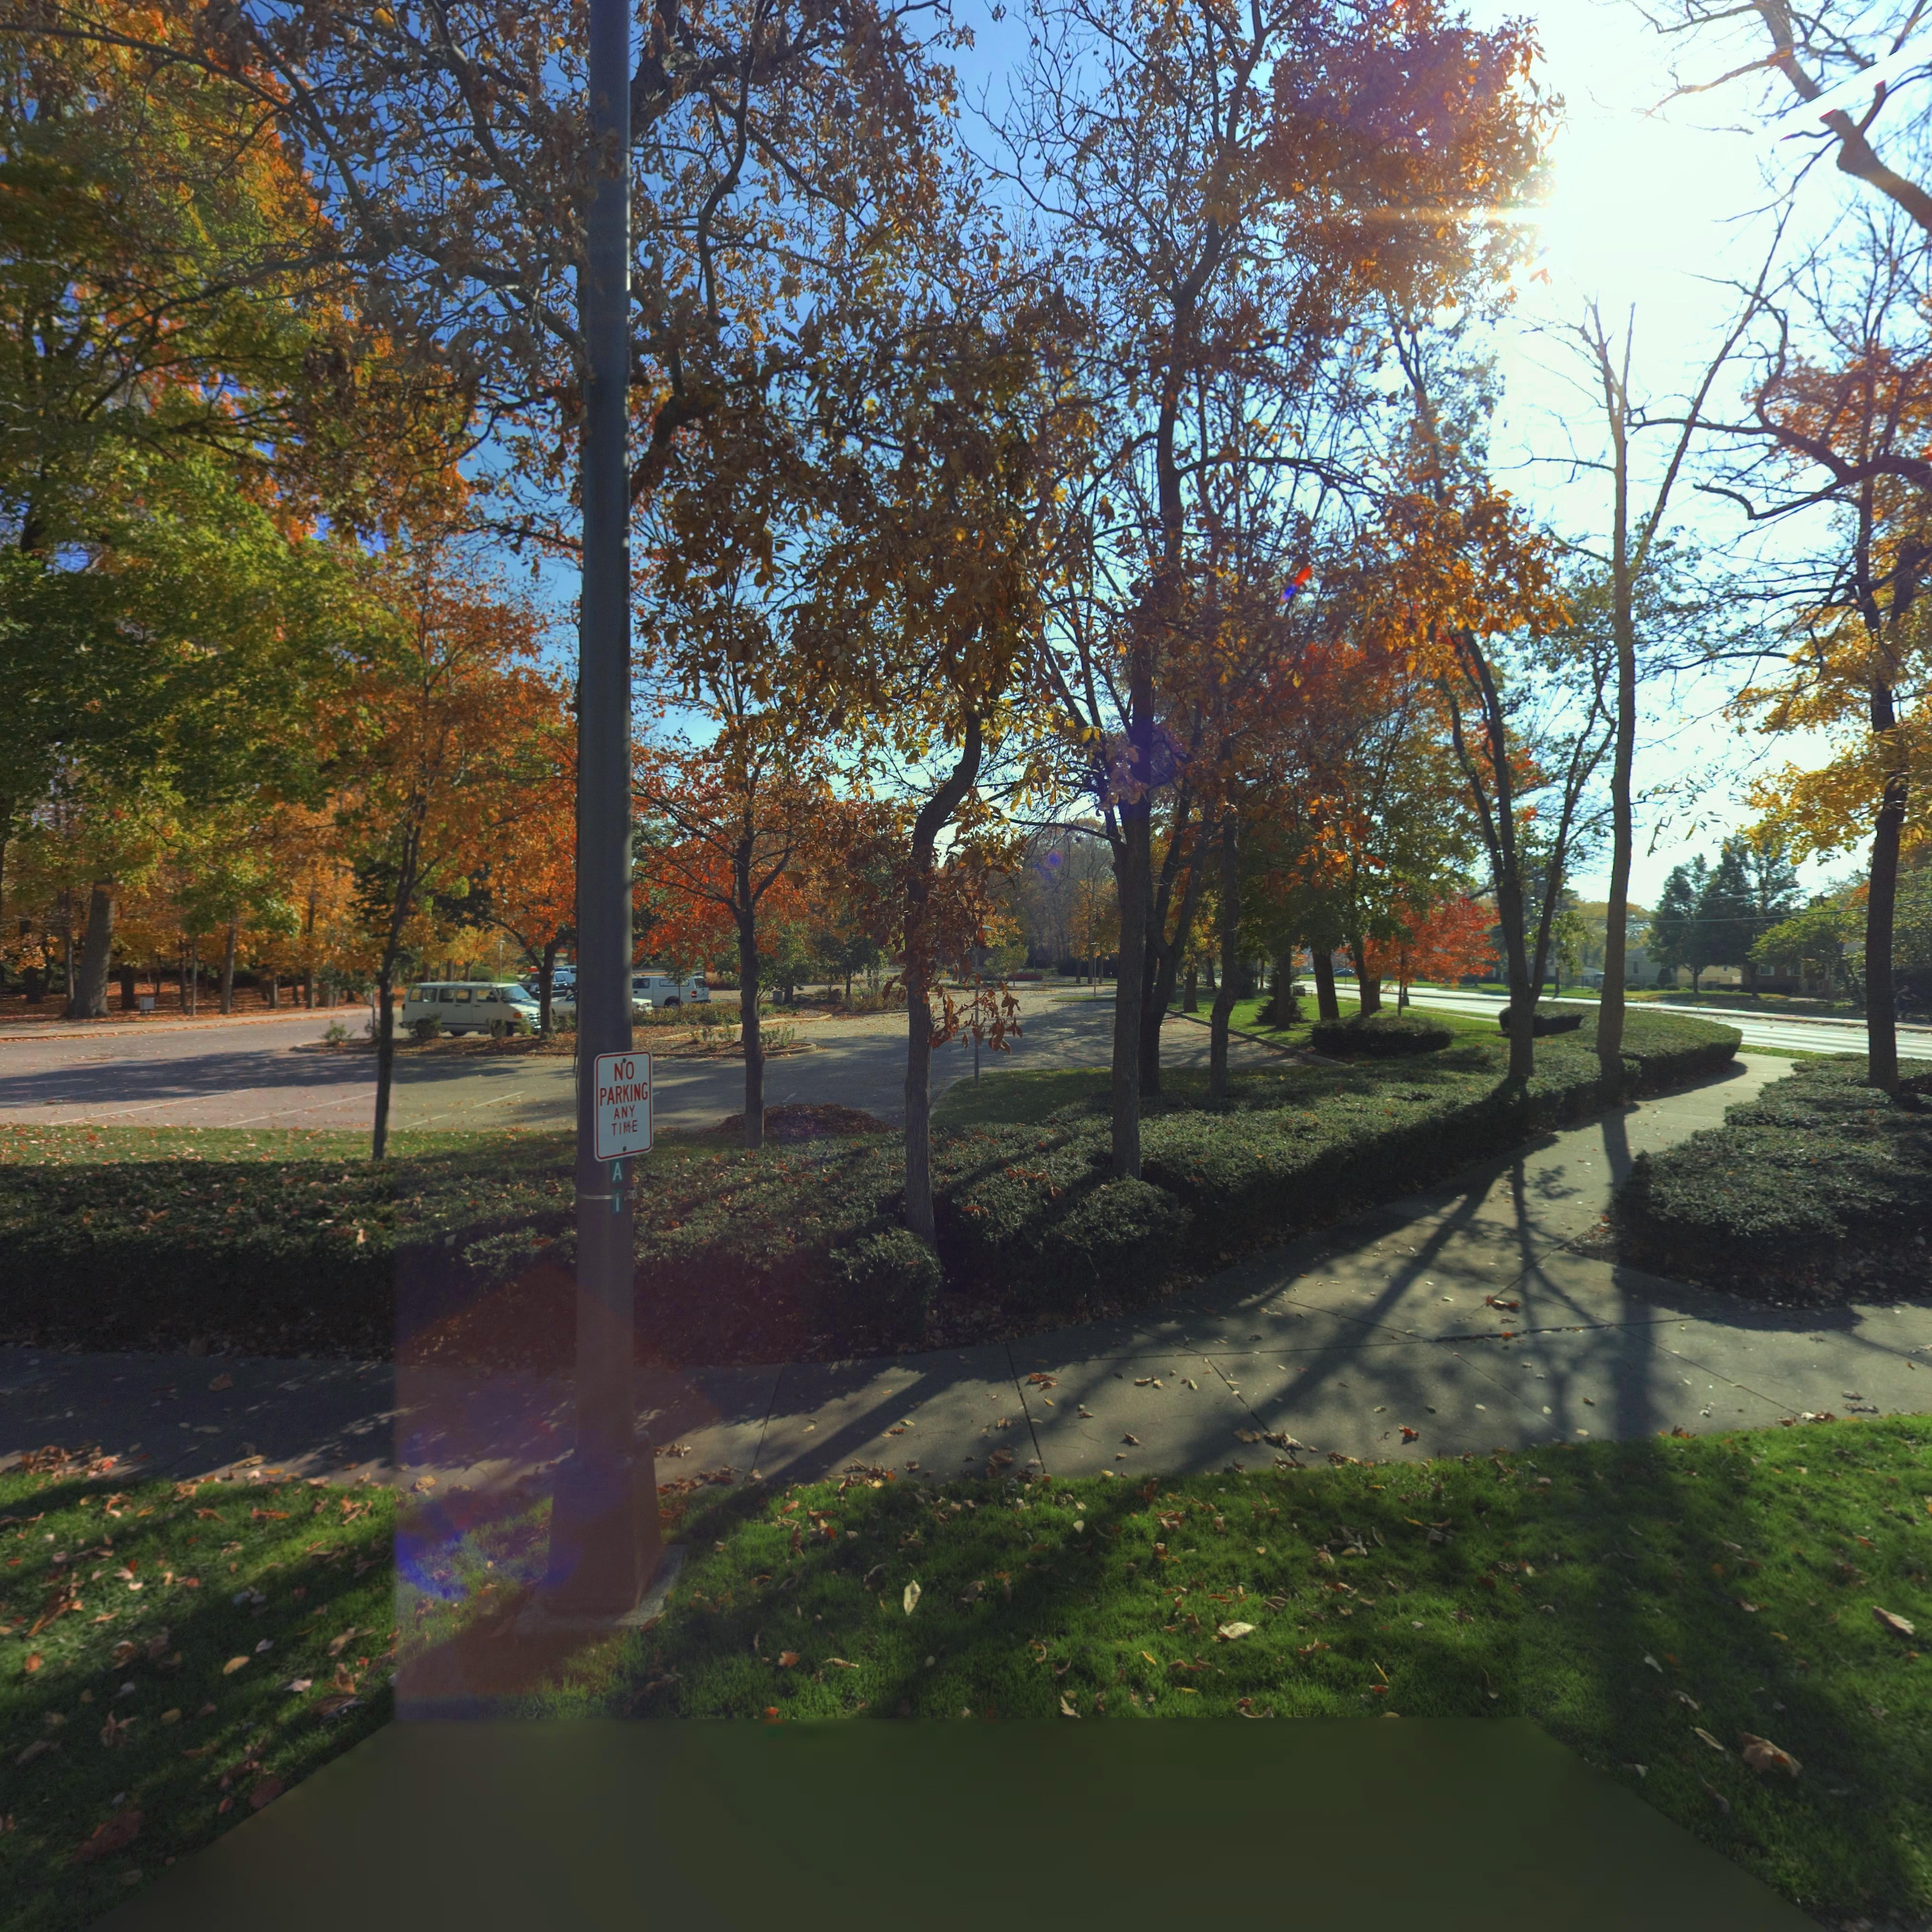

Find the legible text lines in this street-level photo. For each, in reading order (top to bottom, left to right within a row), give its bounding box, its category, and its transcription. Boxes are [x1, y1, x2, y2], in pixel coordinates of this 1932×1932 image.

[614, 1061, 635, 1082] None: NO
[599, 1082, 648, 1107] None: PARKING
[613, 1104, 636, 1120] None: ANY
[610, 1119, 638, 1136] None: TIME
[611, 1160, 624, 1182] None: A
[615, 1192, 620, 1212] None: 1